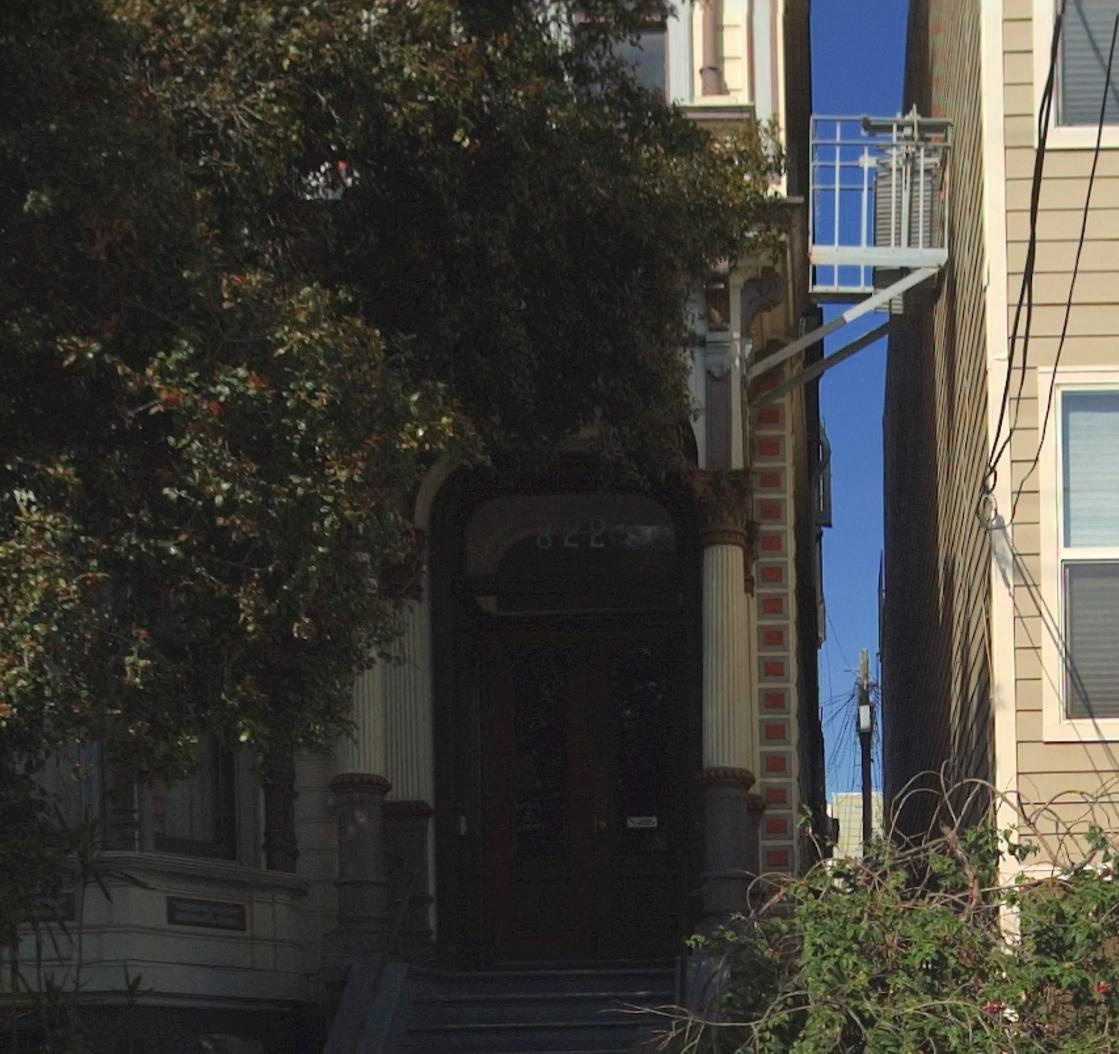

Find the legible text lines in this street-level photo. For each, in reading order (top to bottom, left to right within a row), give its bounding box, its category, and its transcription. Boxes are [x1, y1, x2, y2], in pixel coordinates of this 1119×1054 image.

[535, 516, 608, 550] StreetNumber: 822